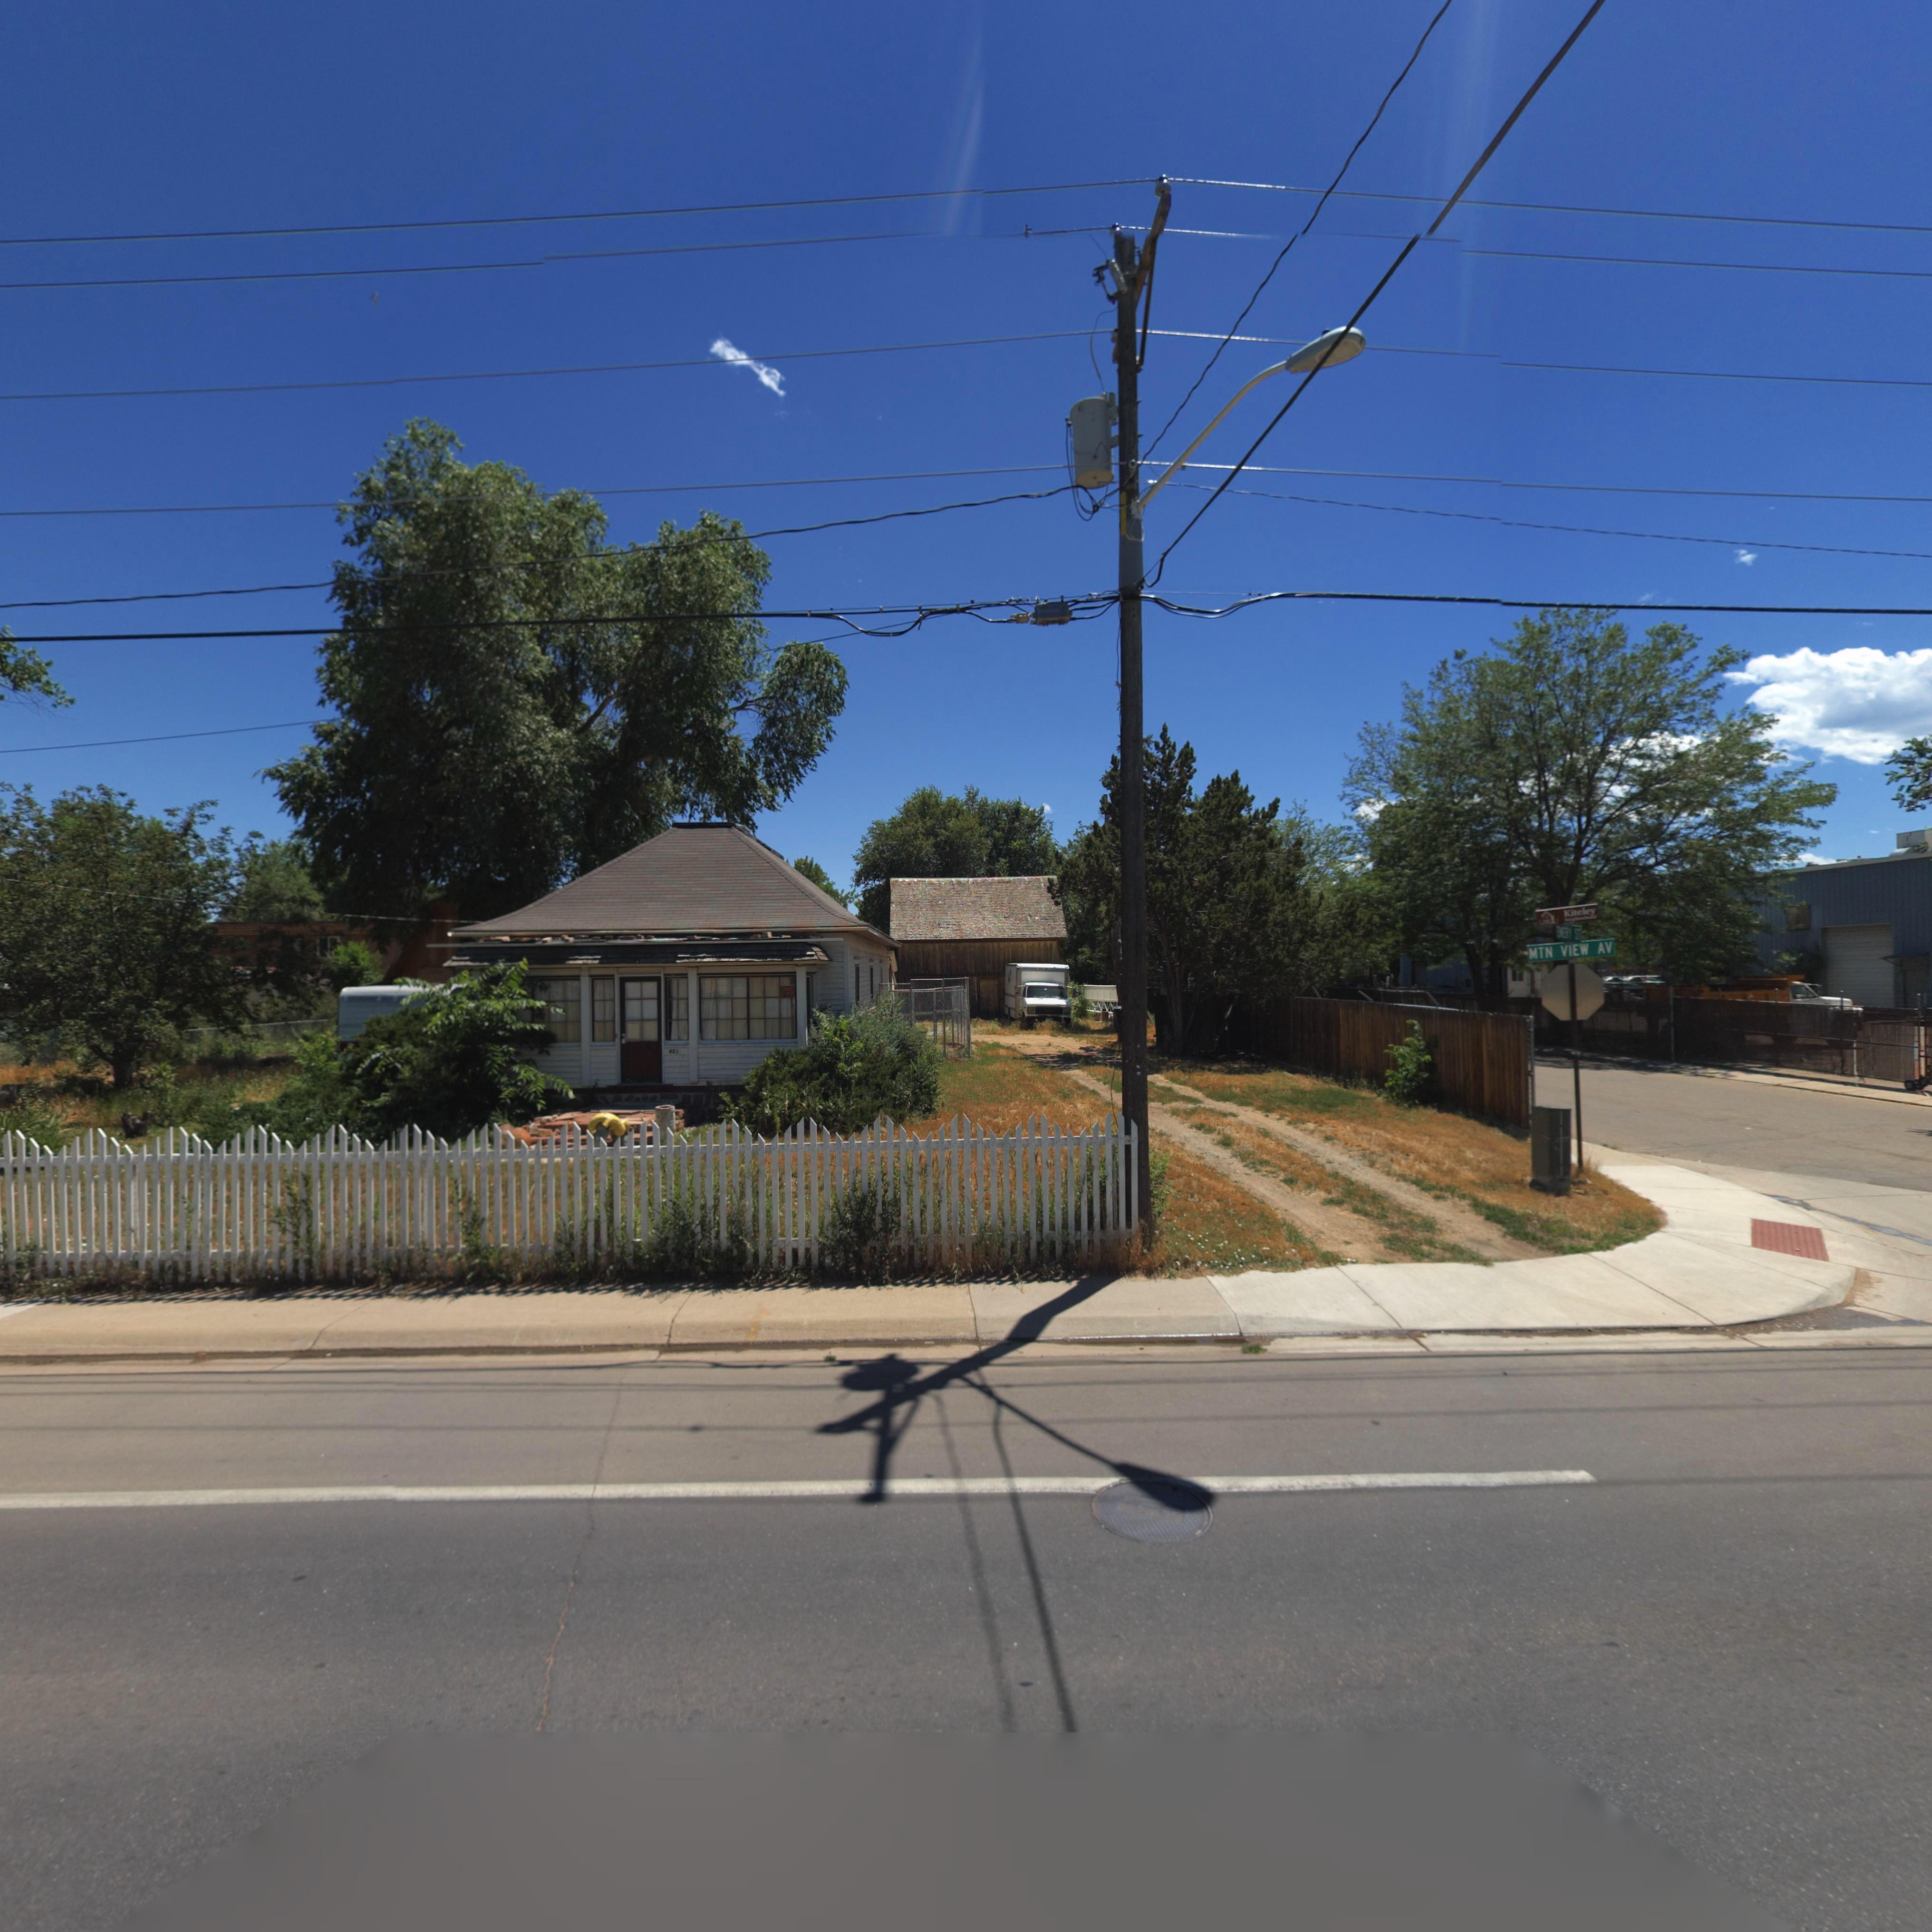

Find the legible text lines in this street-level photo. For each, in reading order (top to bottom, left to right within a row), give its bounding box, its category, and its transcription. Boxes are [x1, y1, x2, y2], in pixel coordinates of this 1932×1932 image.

[1555, 925, 1581, 940] StreetName: EMERY ST
[1528, 941, 1613, 960] StreetName: MTN VIEW AV
[668, 1049, 678, 1053] StreetNumber: 401